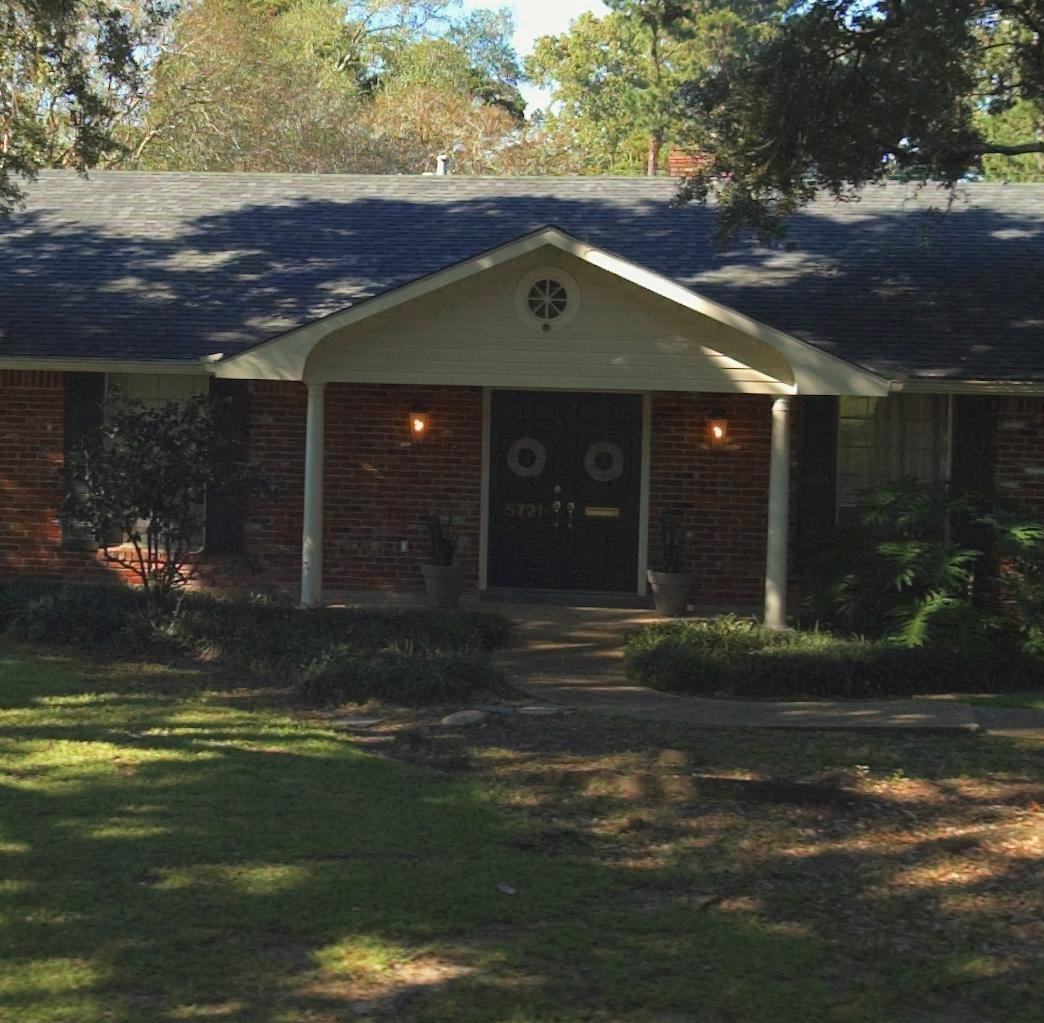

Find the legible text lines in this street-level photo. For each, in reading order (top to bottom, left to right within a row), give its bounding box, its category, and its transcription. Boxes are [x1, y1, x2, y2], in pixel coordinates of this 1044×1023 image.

[503, 500, 546, 520] StreetNumber: 5721